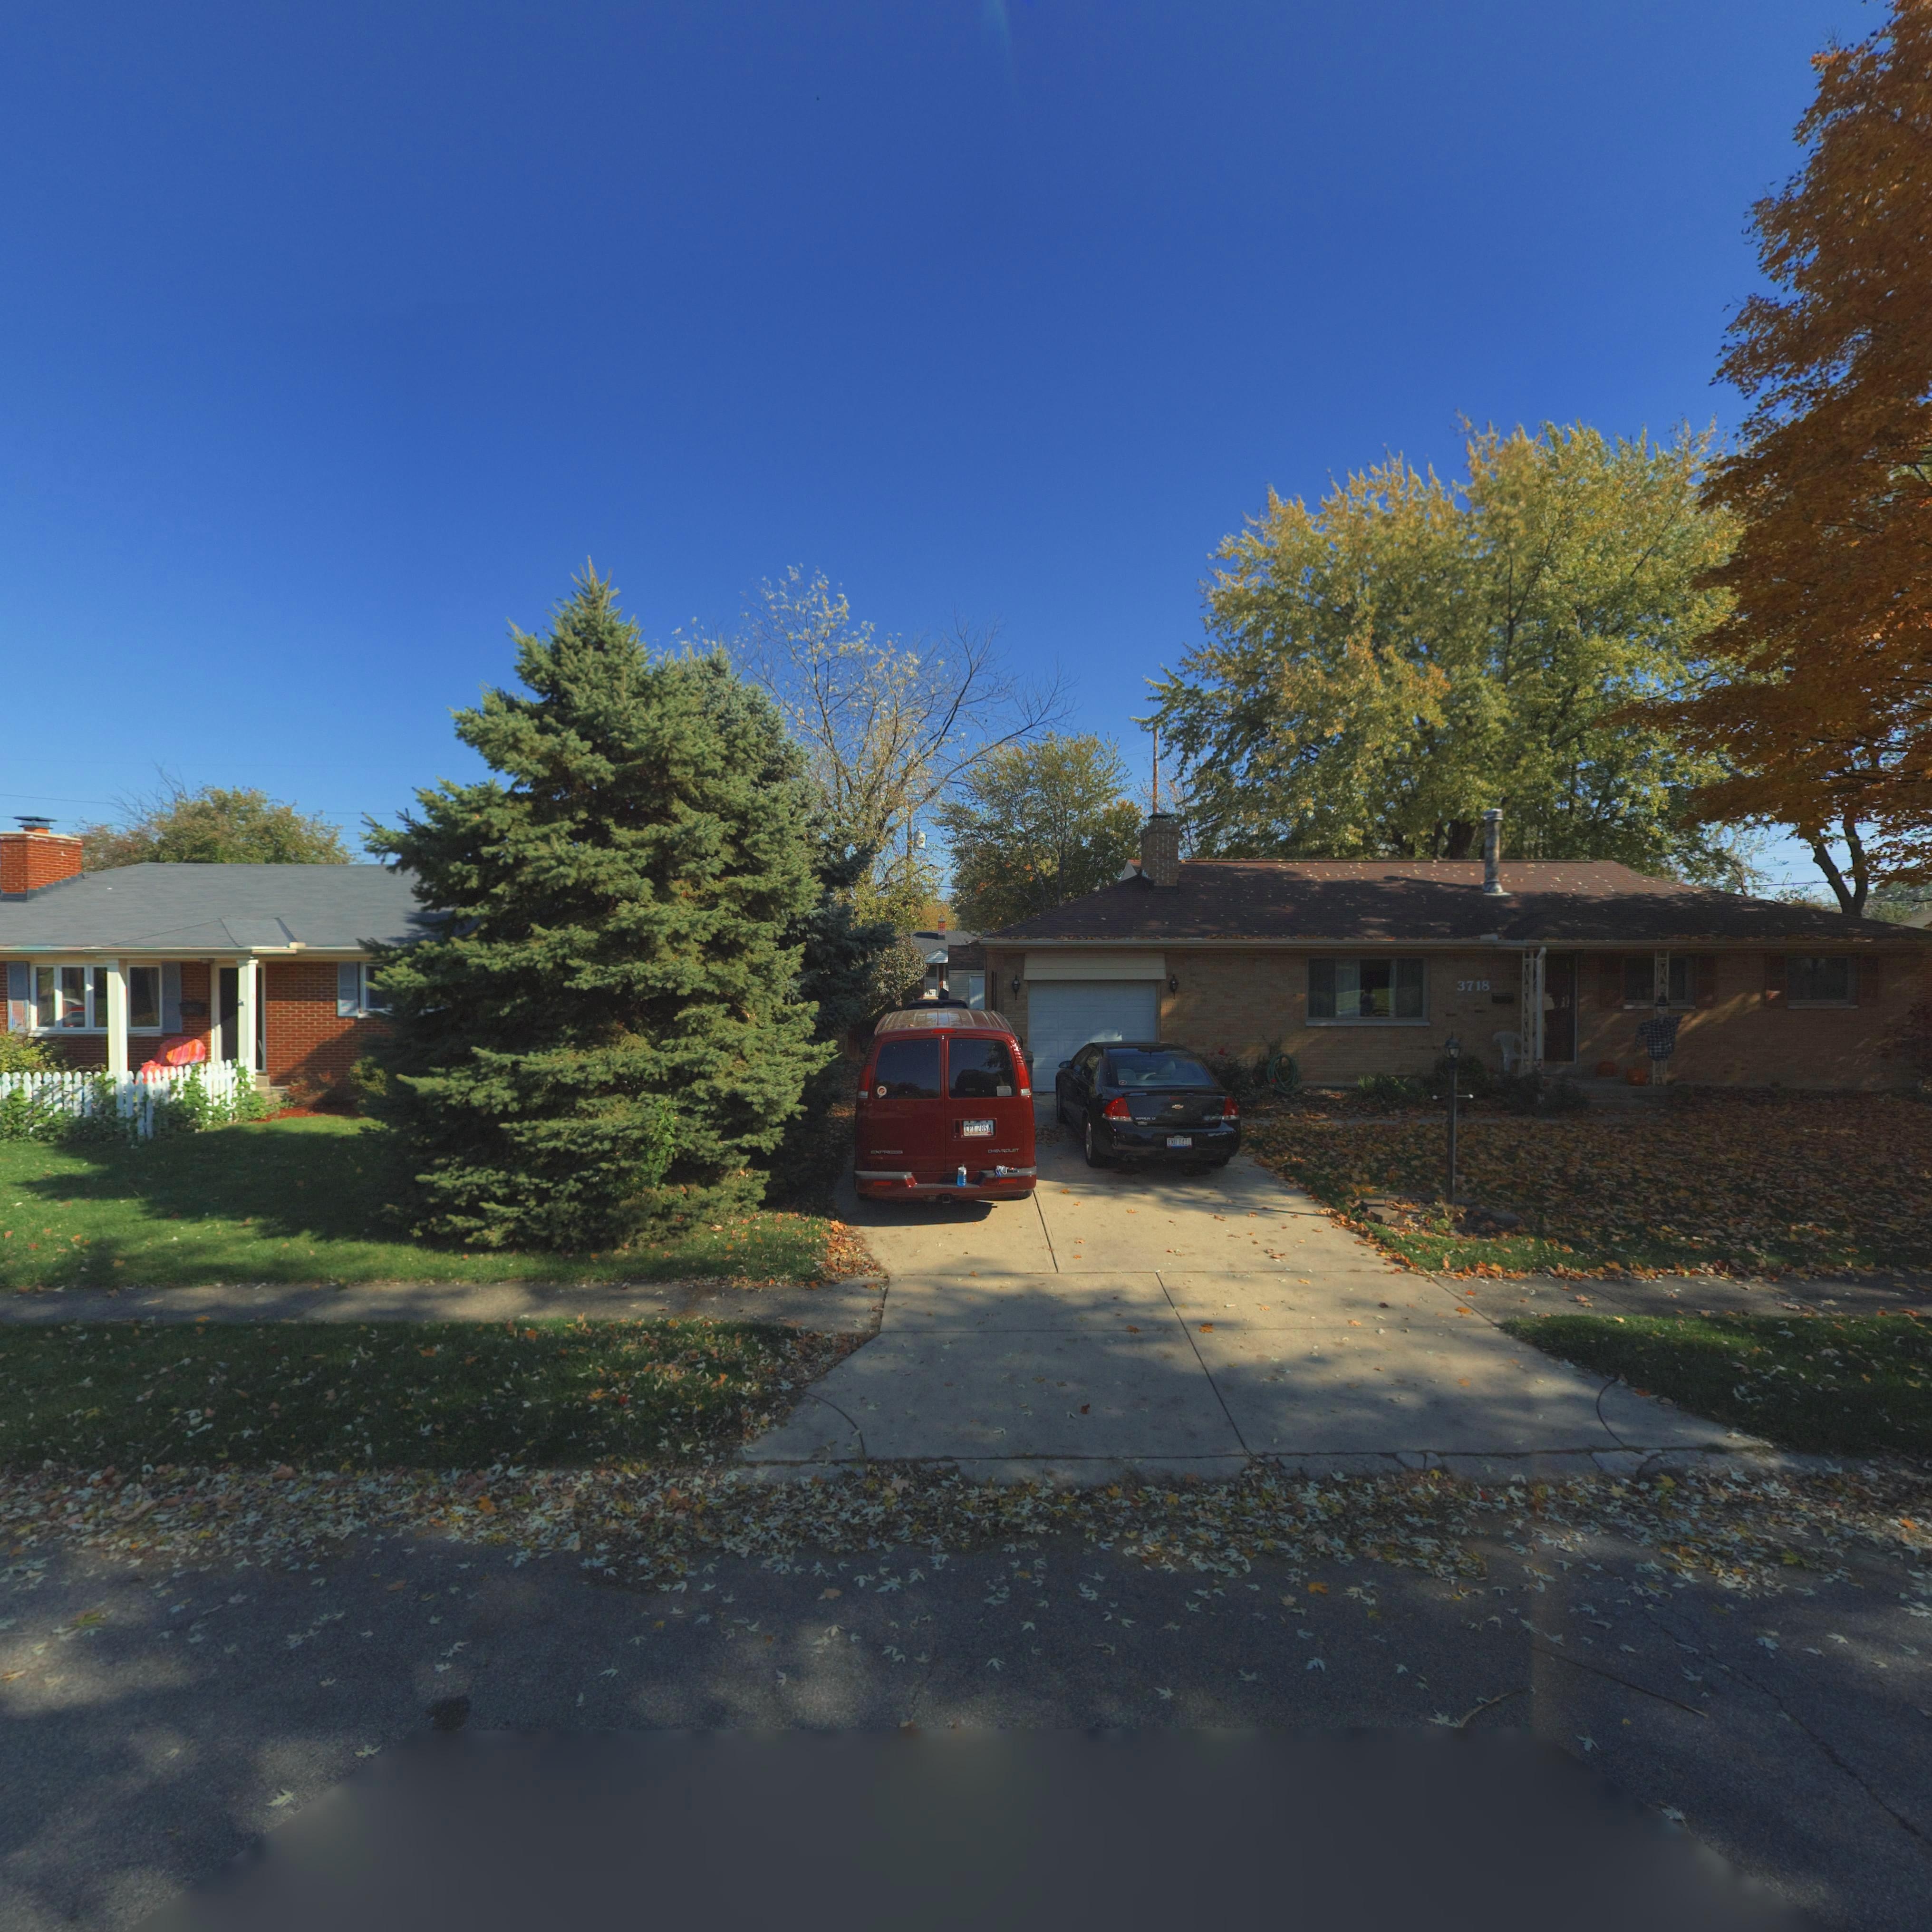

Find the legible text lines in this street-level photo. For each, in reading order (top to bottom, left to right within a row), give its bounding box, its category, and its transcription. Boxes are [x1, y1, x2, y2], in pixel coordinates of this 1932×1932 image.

[1456, 979, 1491, 992] StreetNumber: 3718